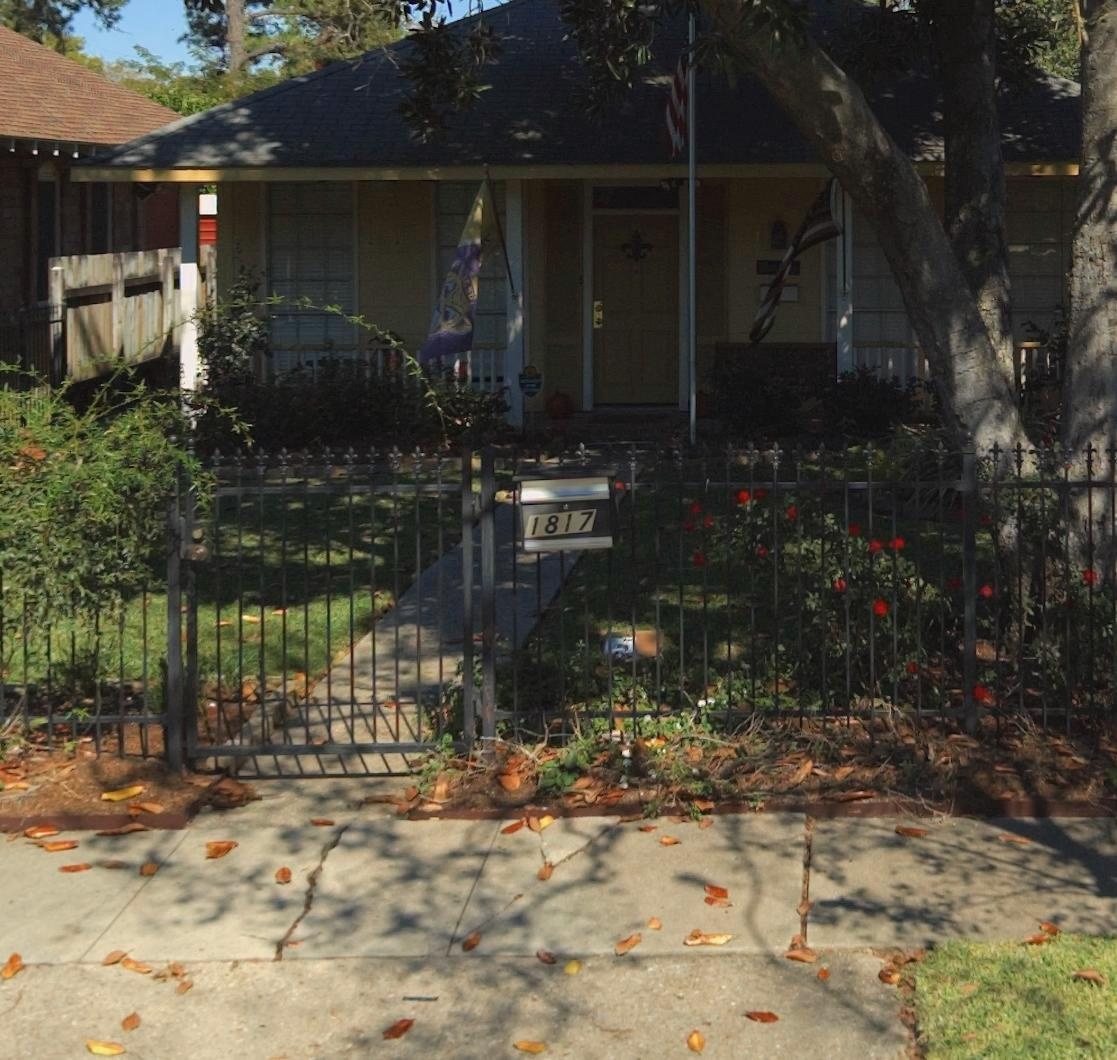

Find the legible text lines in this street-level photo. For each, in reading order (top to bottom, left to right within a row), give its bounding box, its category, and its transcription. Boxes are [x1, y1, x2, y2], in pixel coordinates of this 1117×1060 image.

[527, 508, 597, 540] StreetNumber: 1817